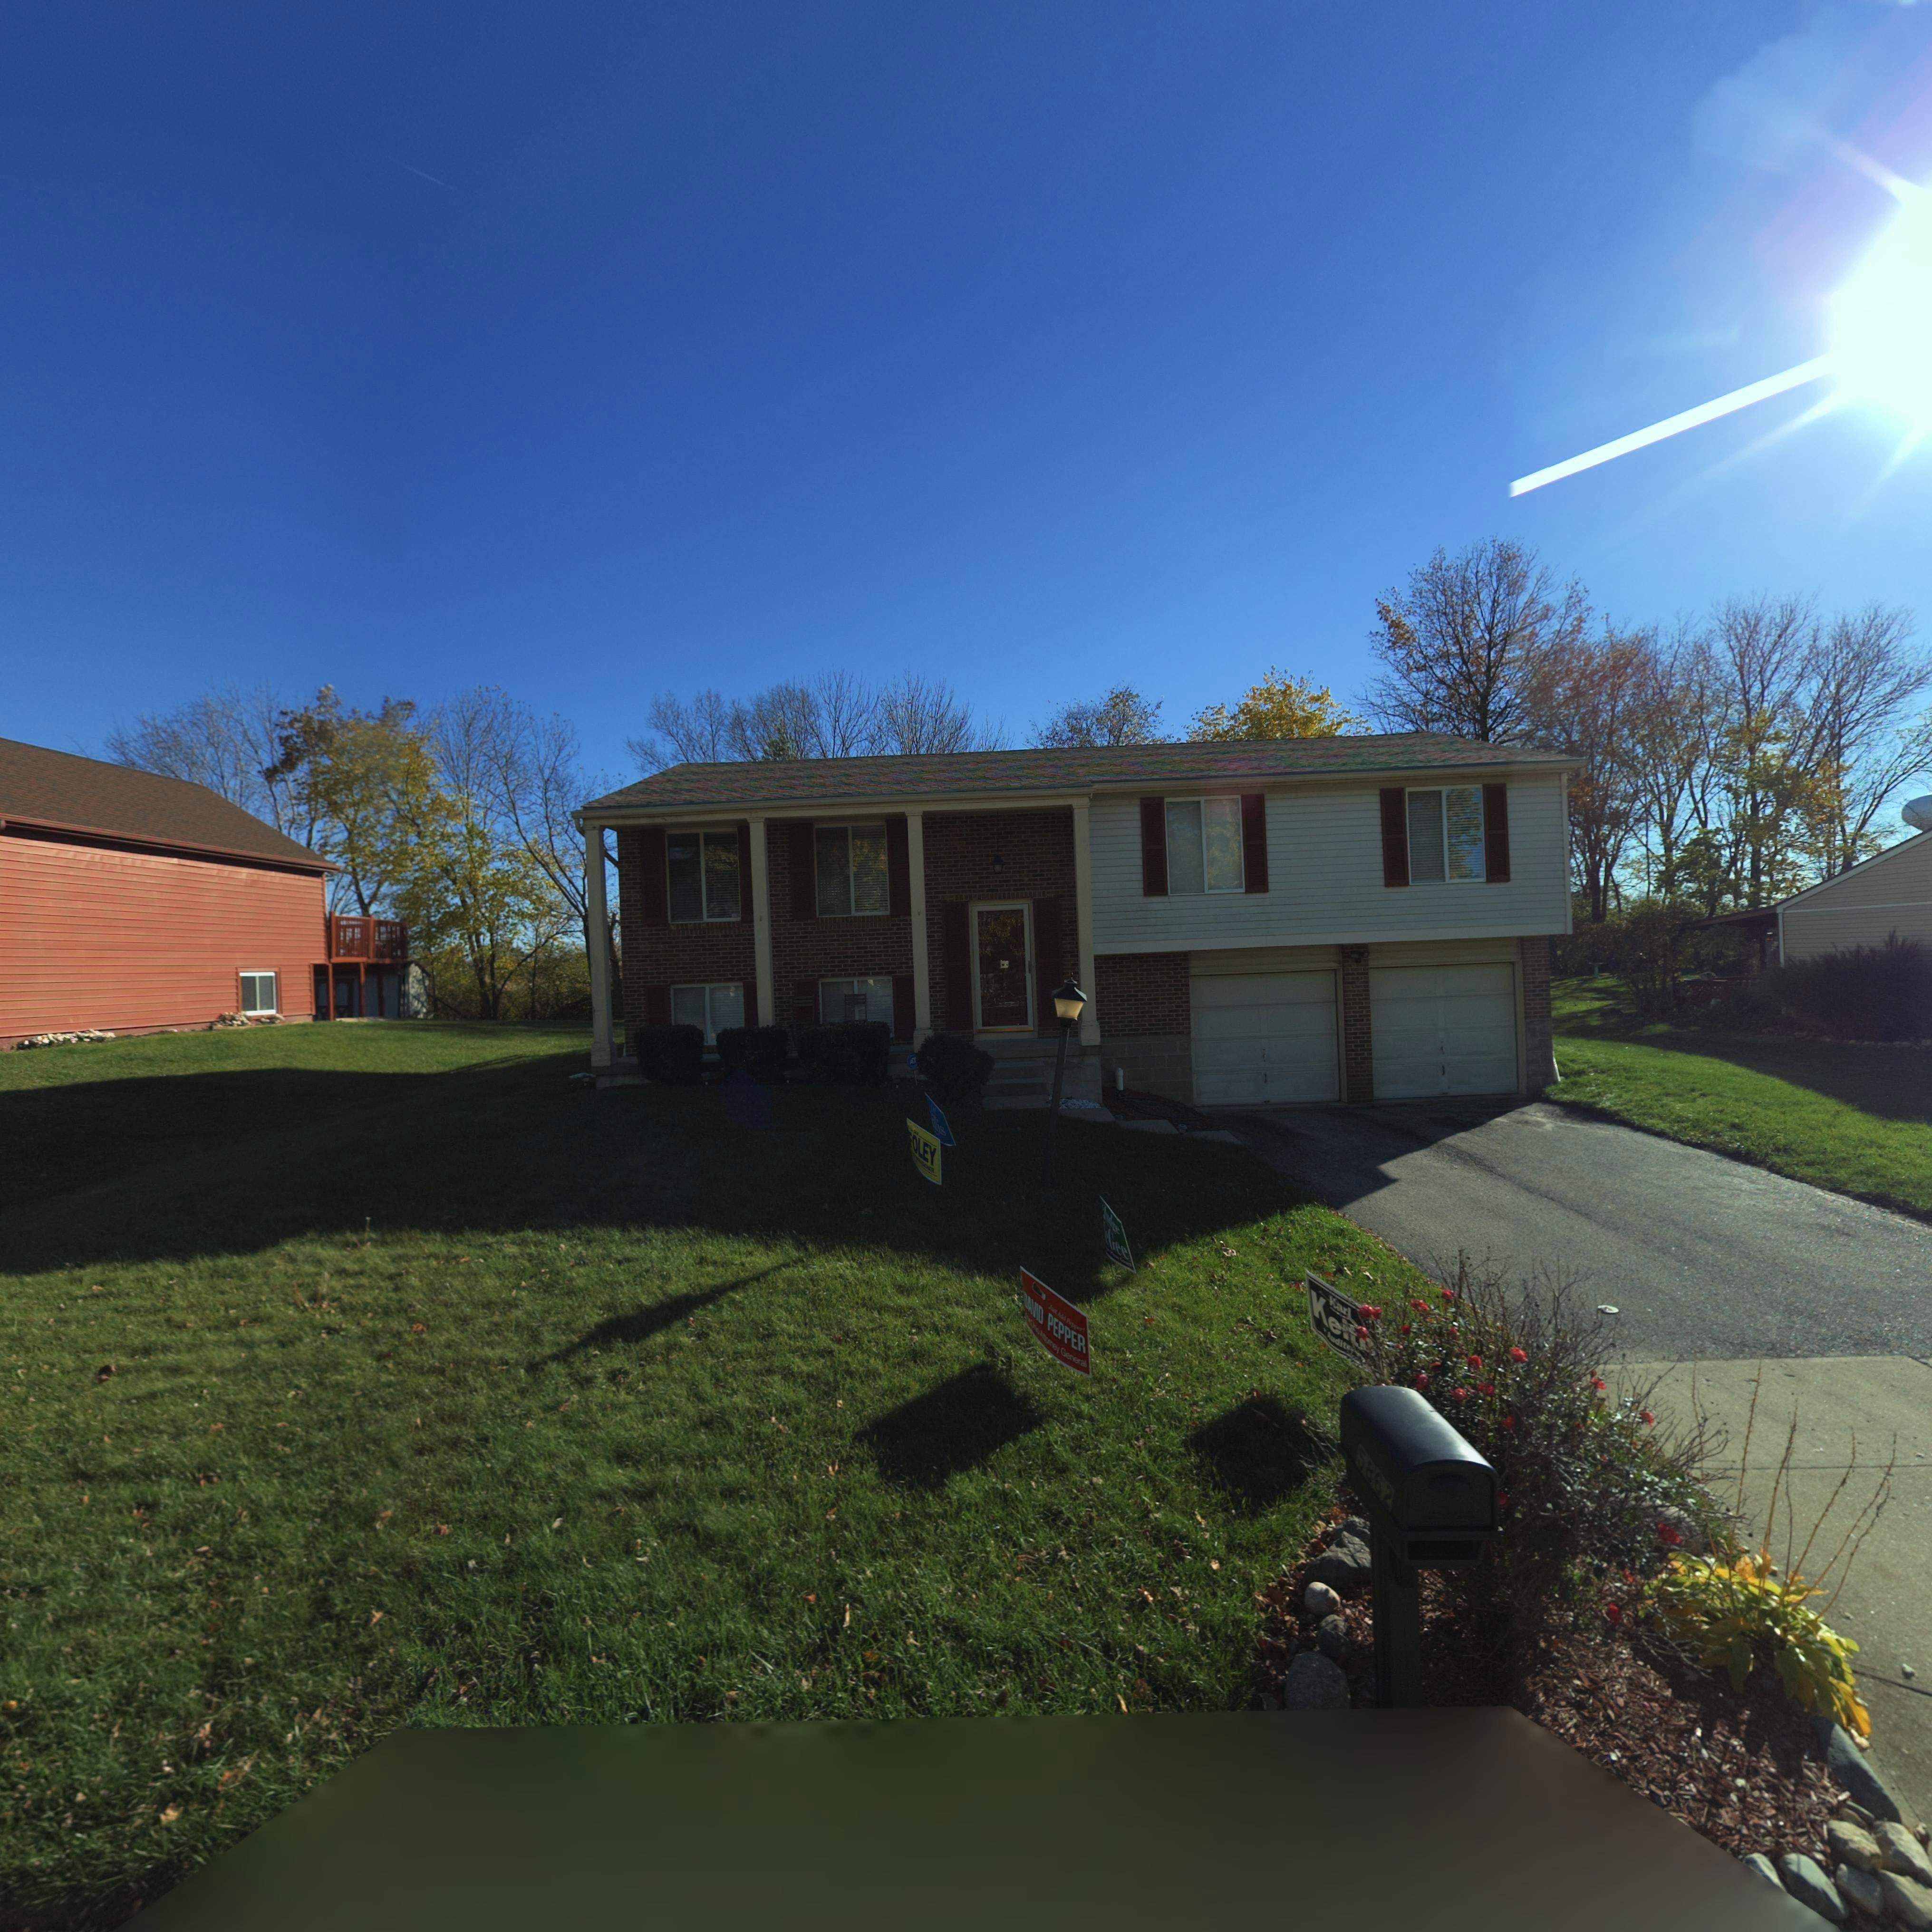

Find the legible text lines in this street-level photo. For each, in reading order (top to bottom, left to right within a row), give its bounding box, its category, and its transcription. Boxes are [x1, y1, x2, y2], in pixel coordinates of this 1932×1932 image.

[1355, 1444, 1395, 1513] StreetNumber: 5862